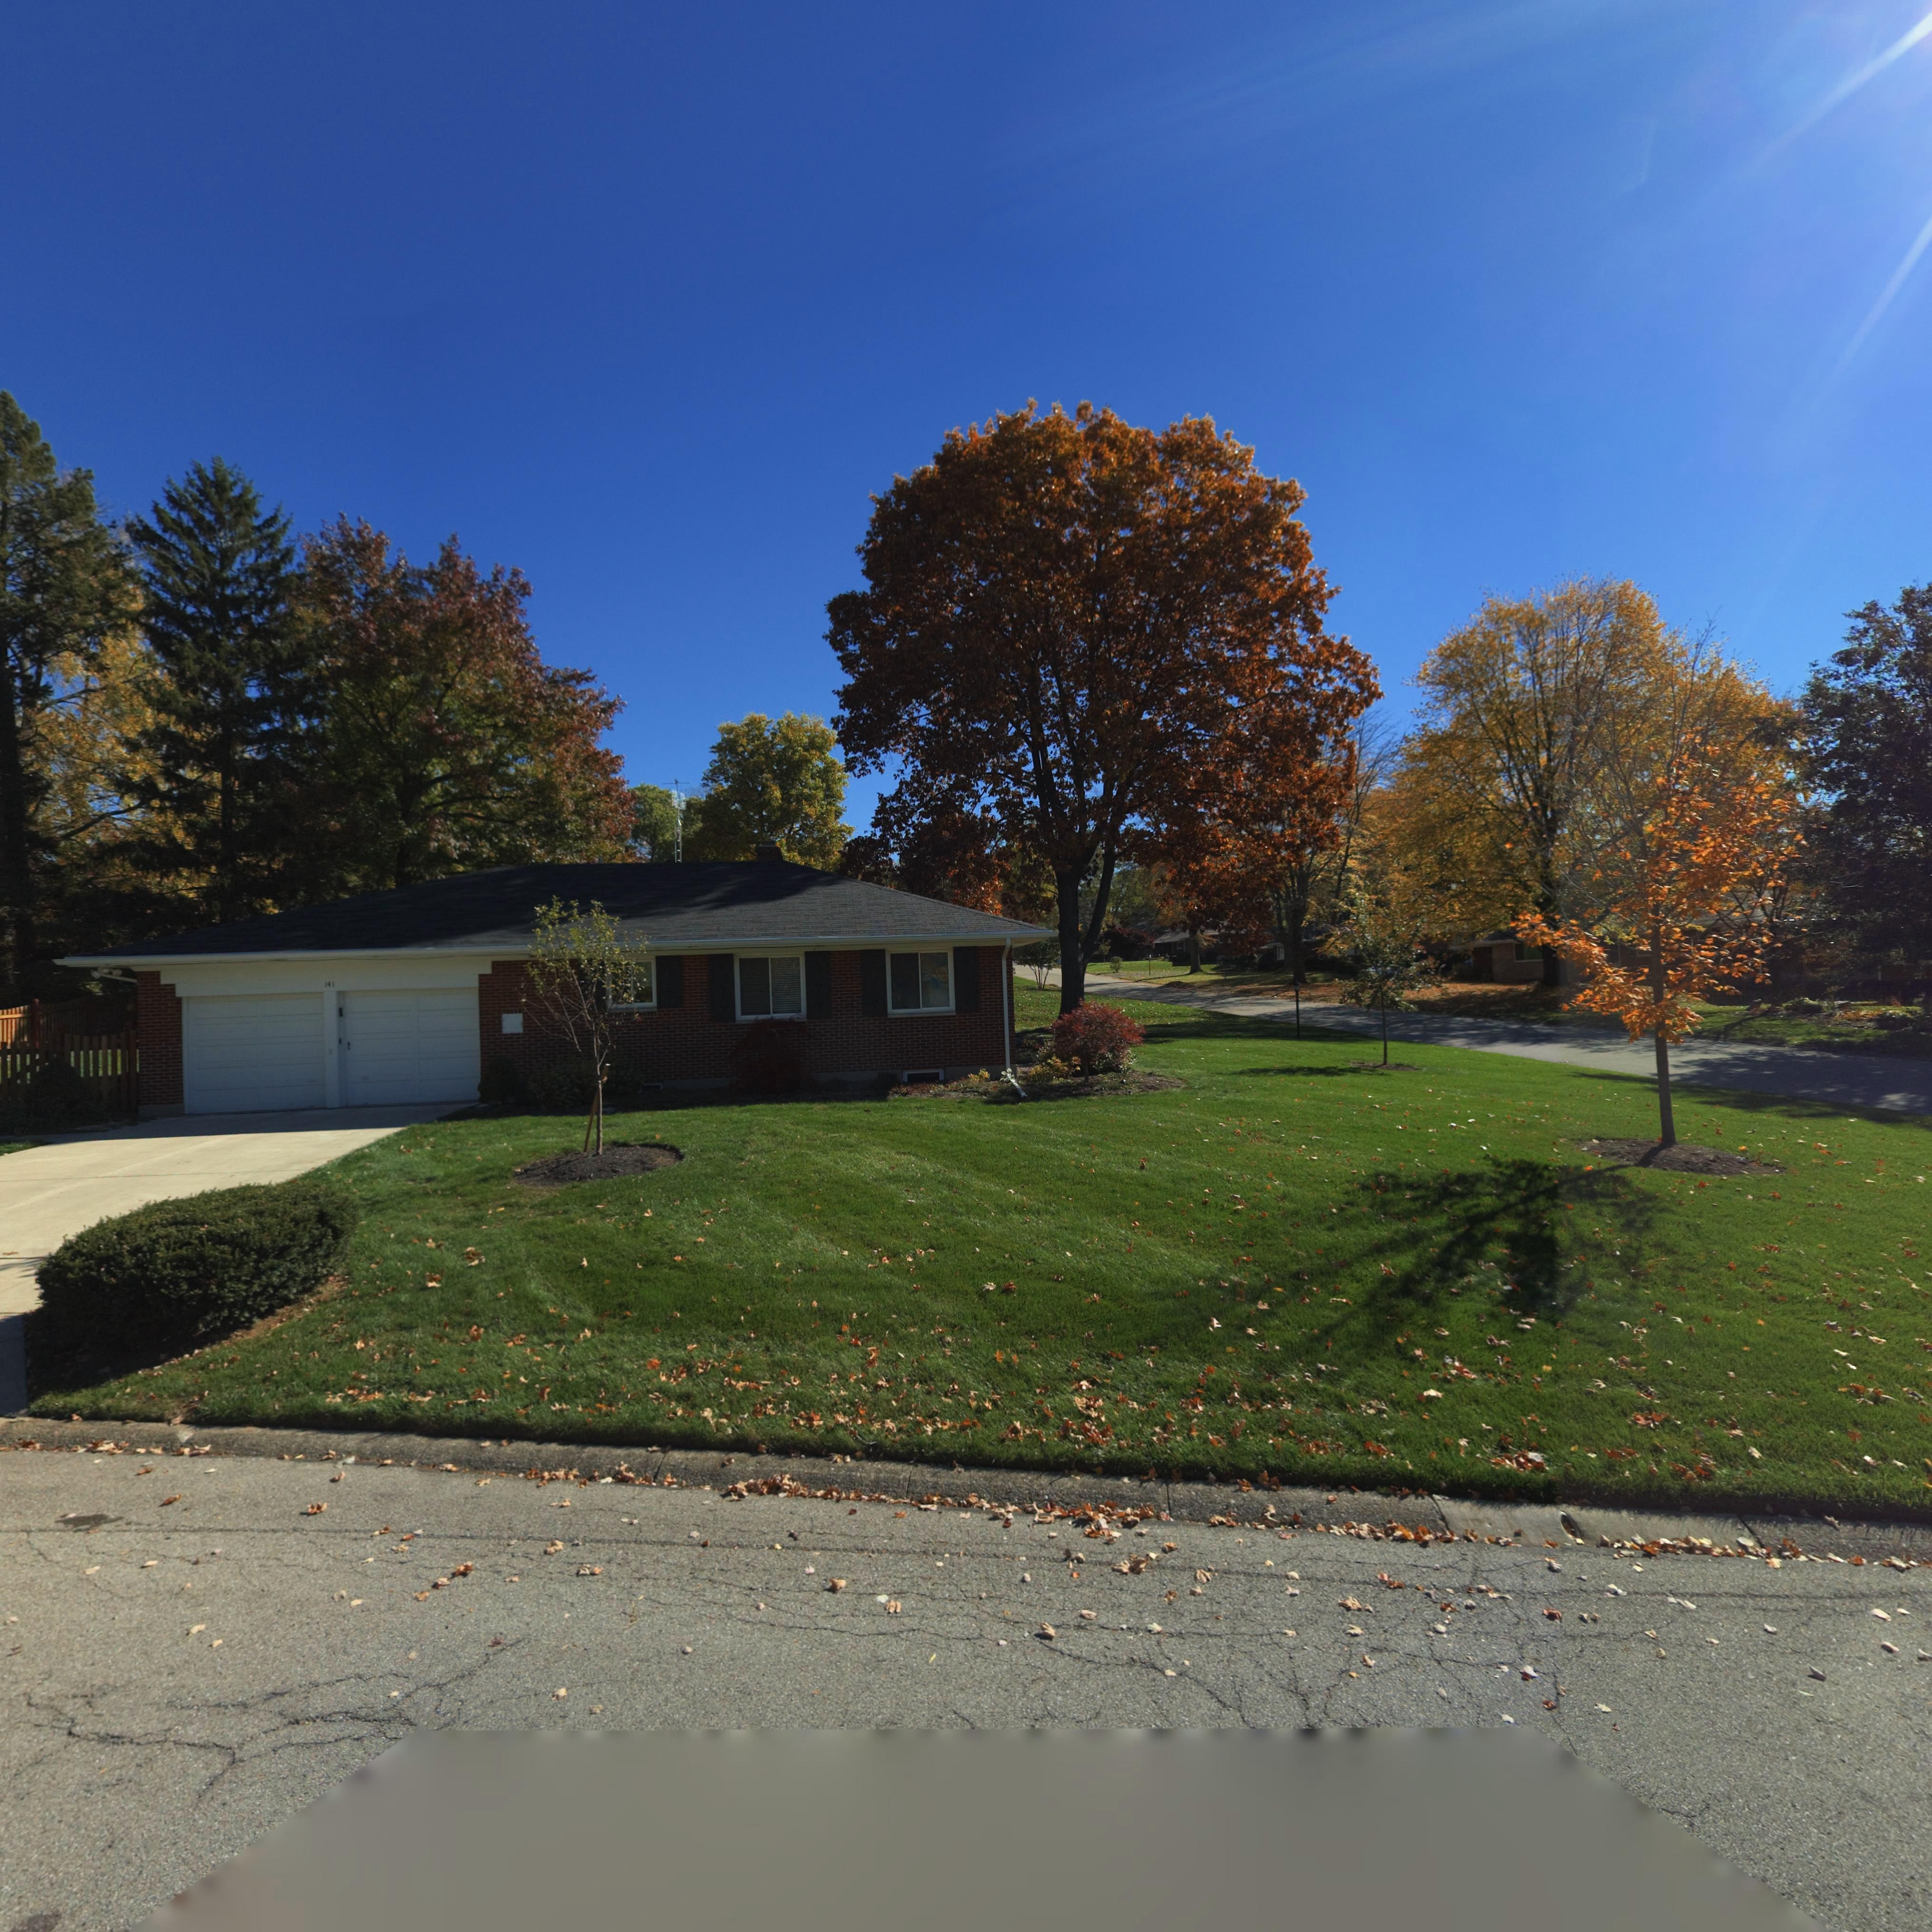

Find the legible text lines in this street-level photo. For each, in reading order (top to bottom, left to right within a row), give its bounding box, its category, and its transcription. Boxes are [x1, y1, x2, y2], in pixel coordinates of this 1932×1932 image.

[323, 980, 335, 988] StreetNumber: 141